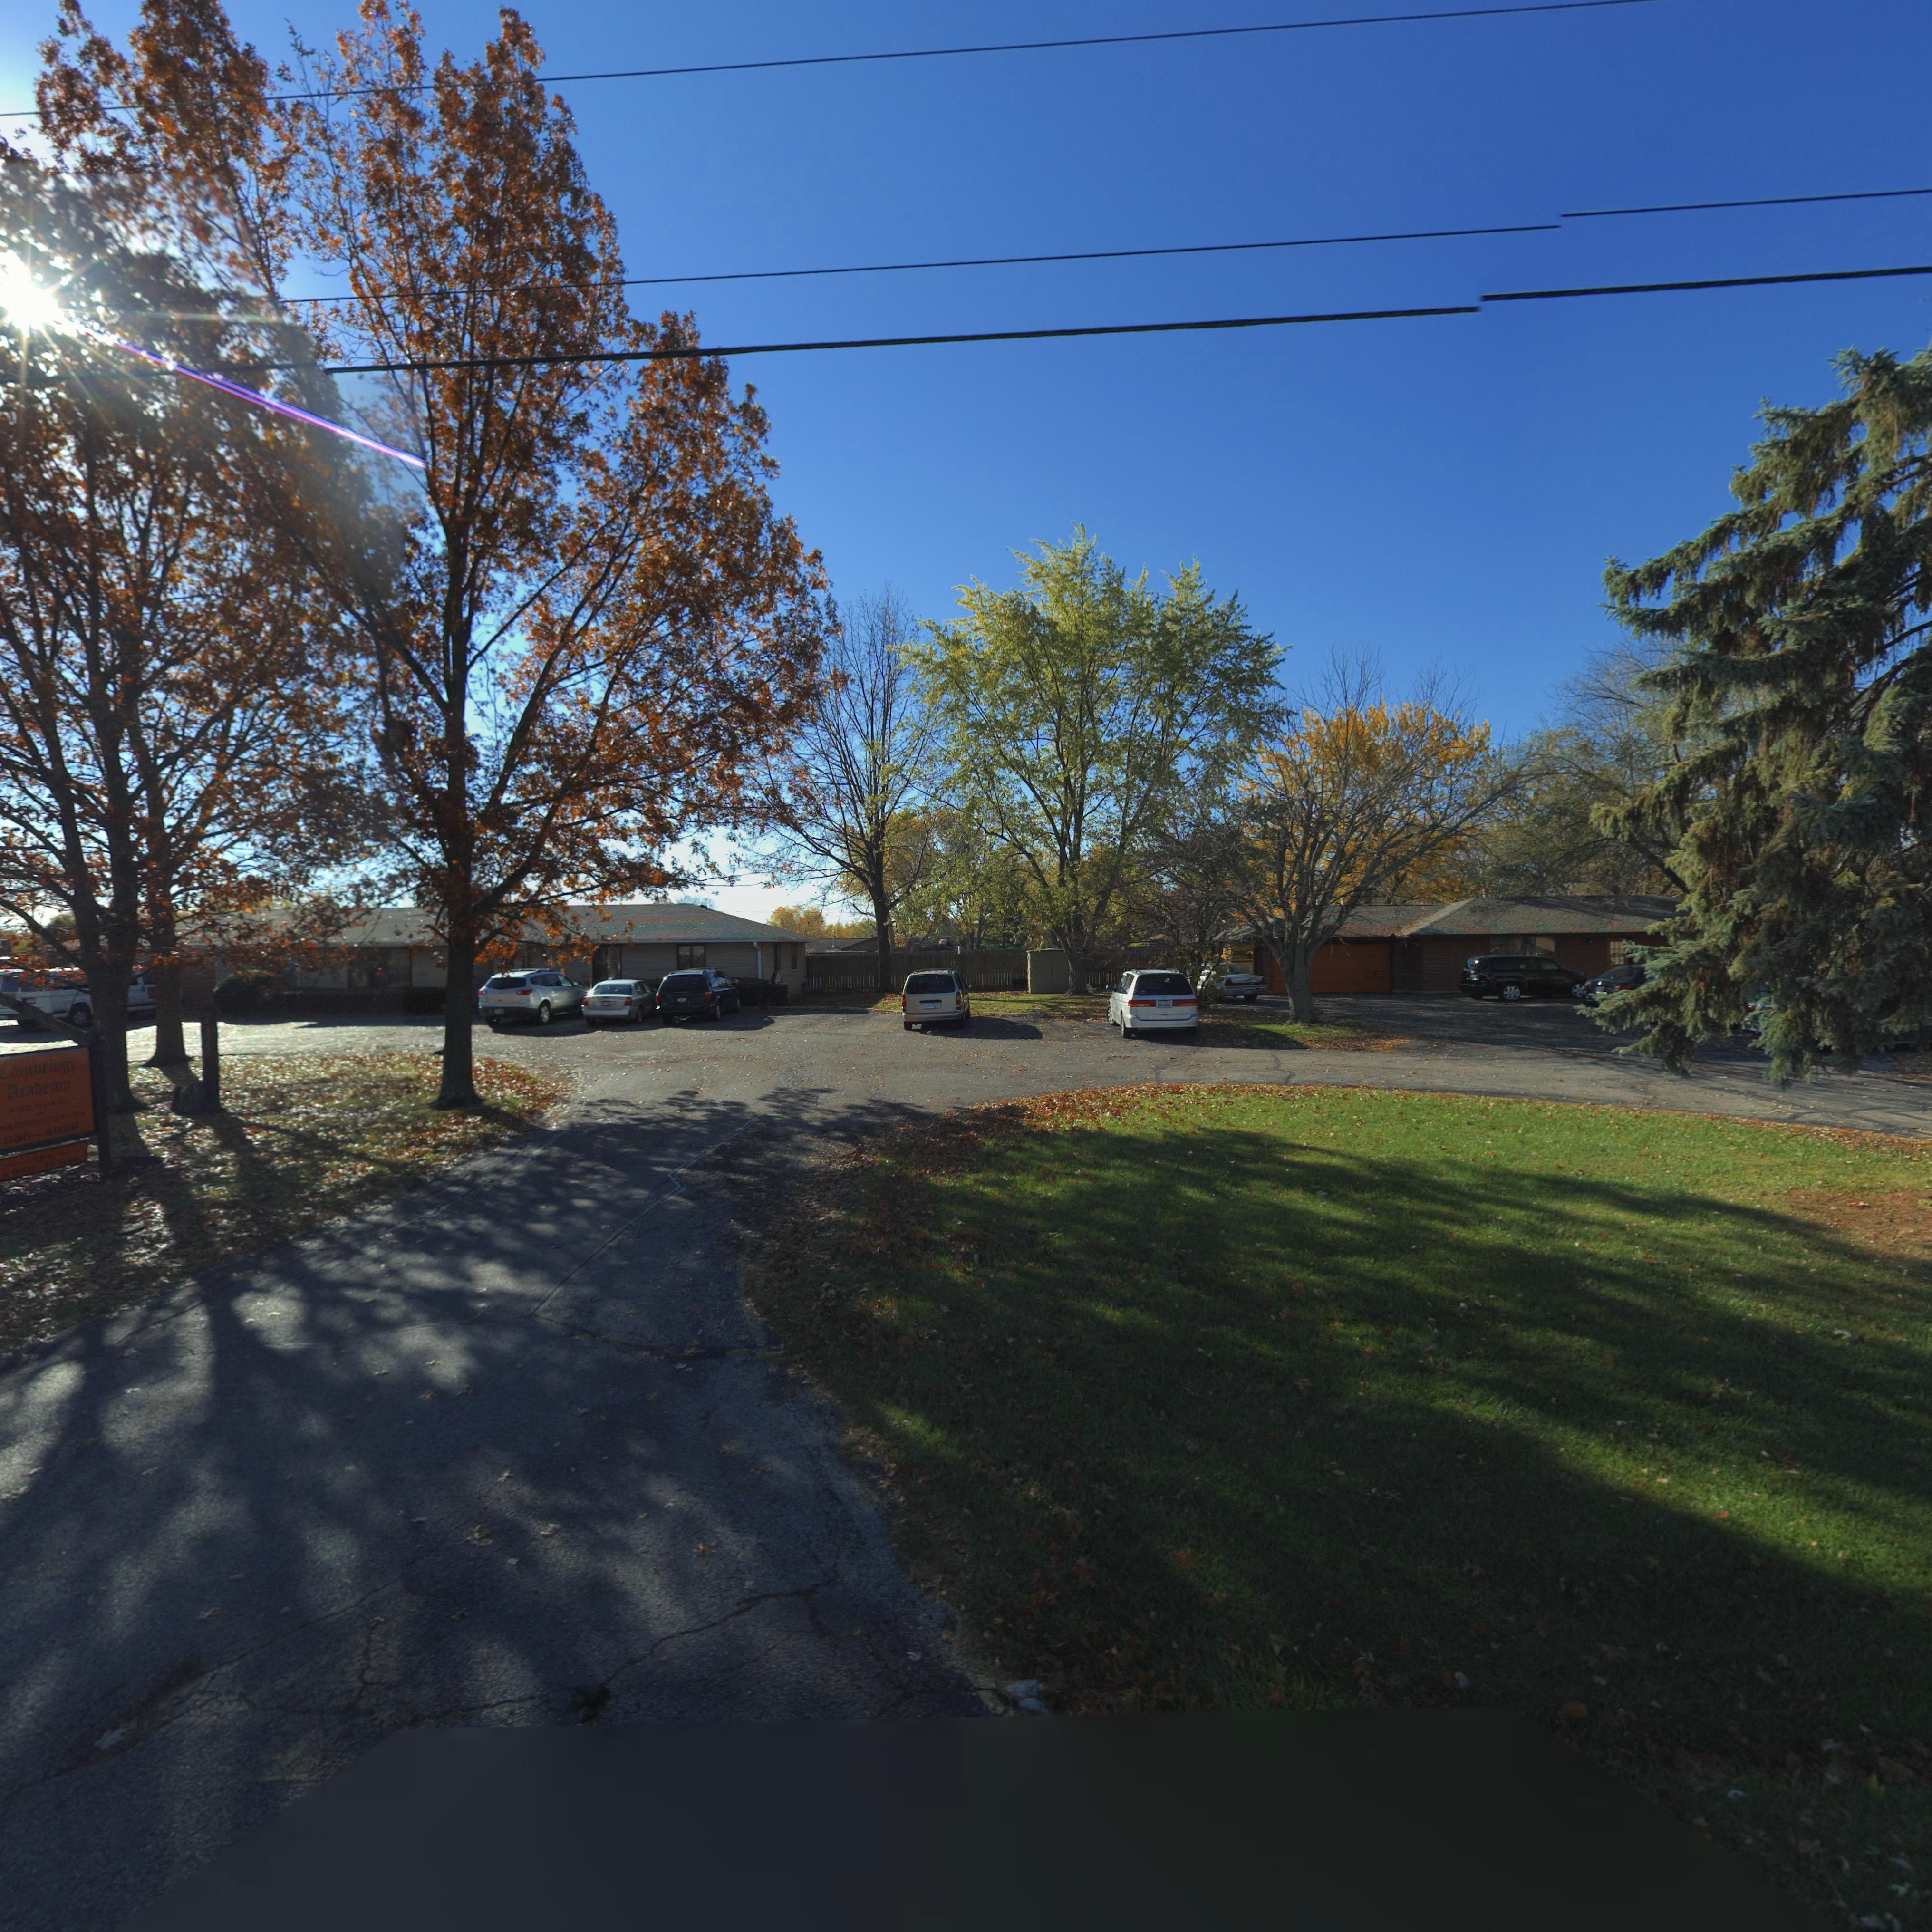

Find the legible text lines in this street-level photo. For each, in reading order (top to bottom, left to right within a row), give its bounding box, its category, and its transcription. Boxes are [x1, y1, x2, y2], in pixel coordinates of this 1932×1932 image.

[202, 1012, 214, 1057] StreetNumber: 7***
[9, 1057, 79, 1079] BusinessName: ambridge
[5, 1079, 72, 1100] BusinessName: Academy